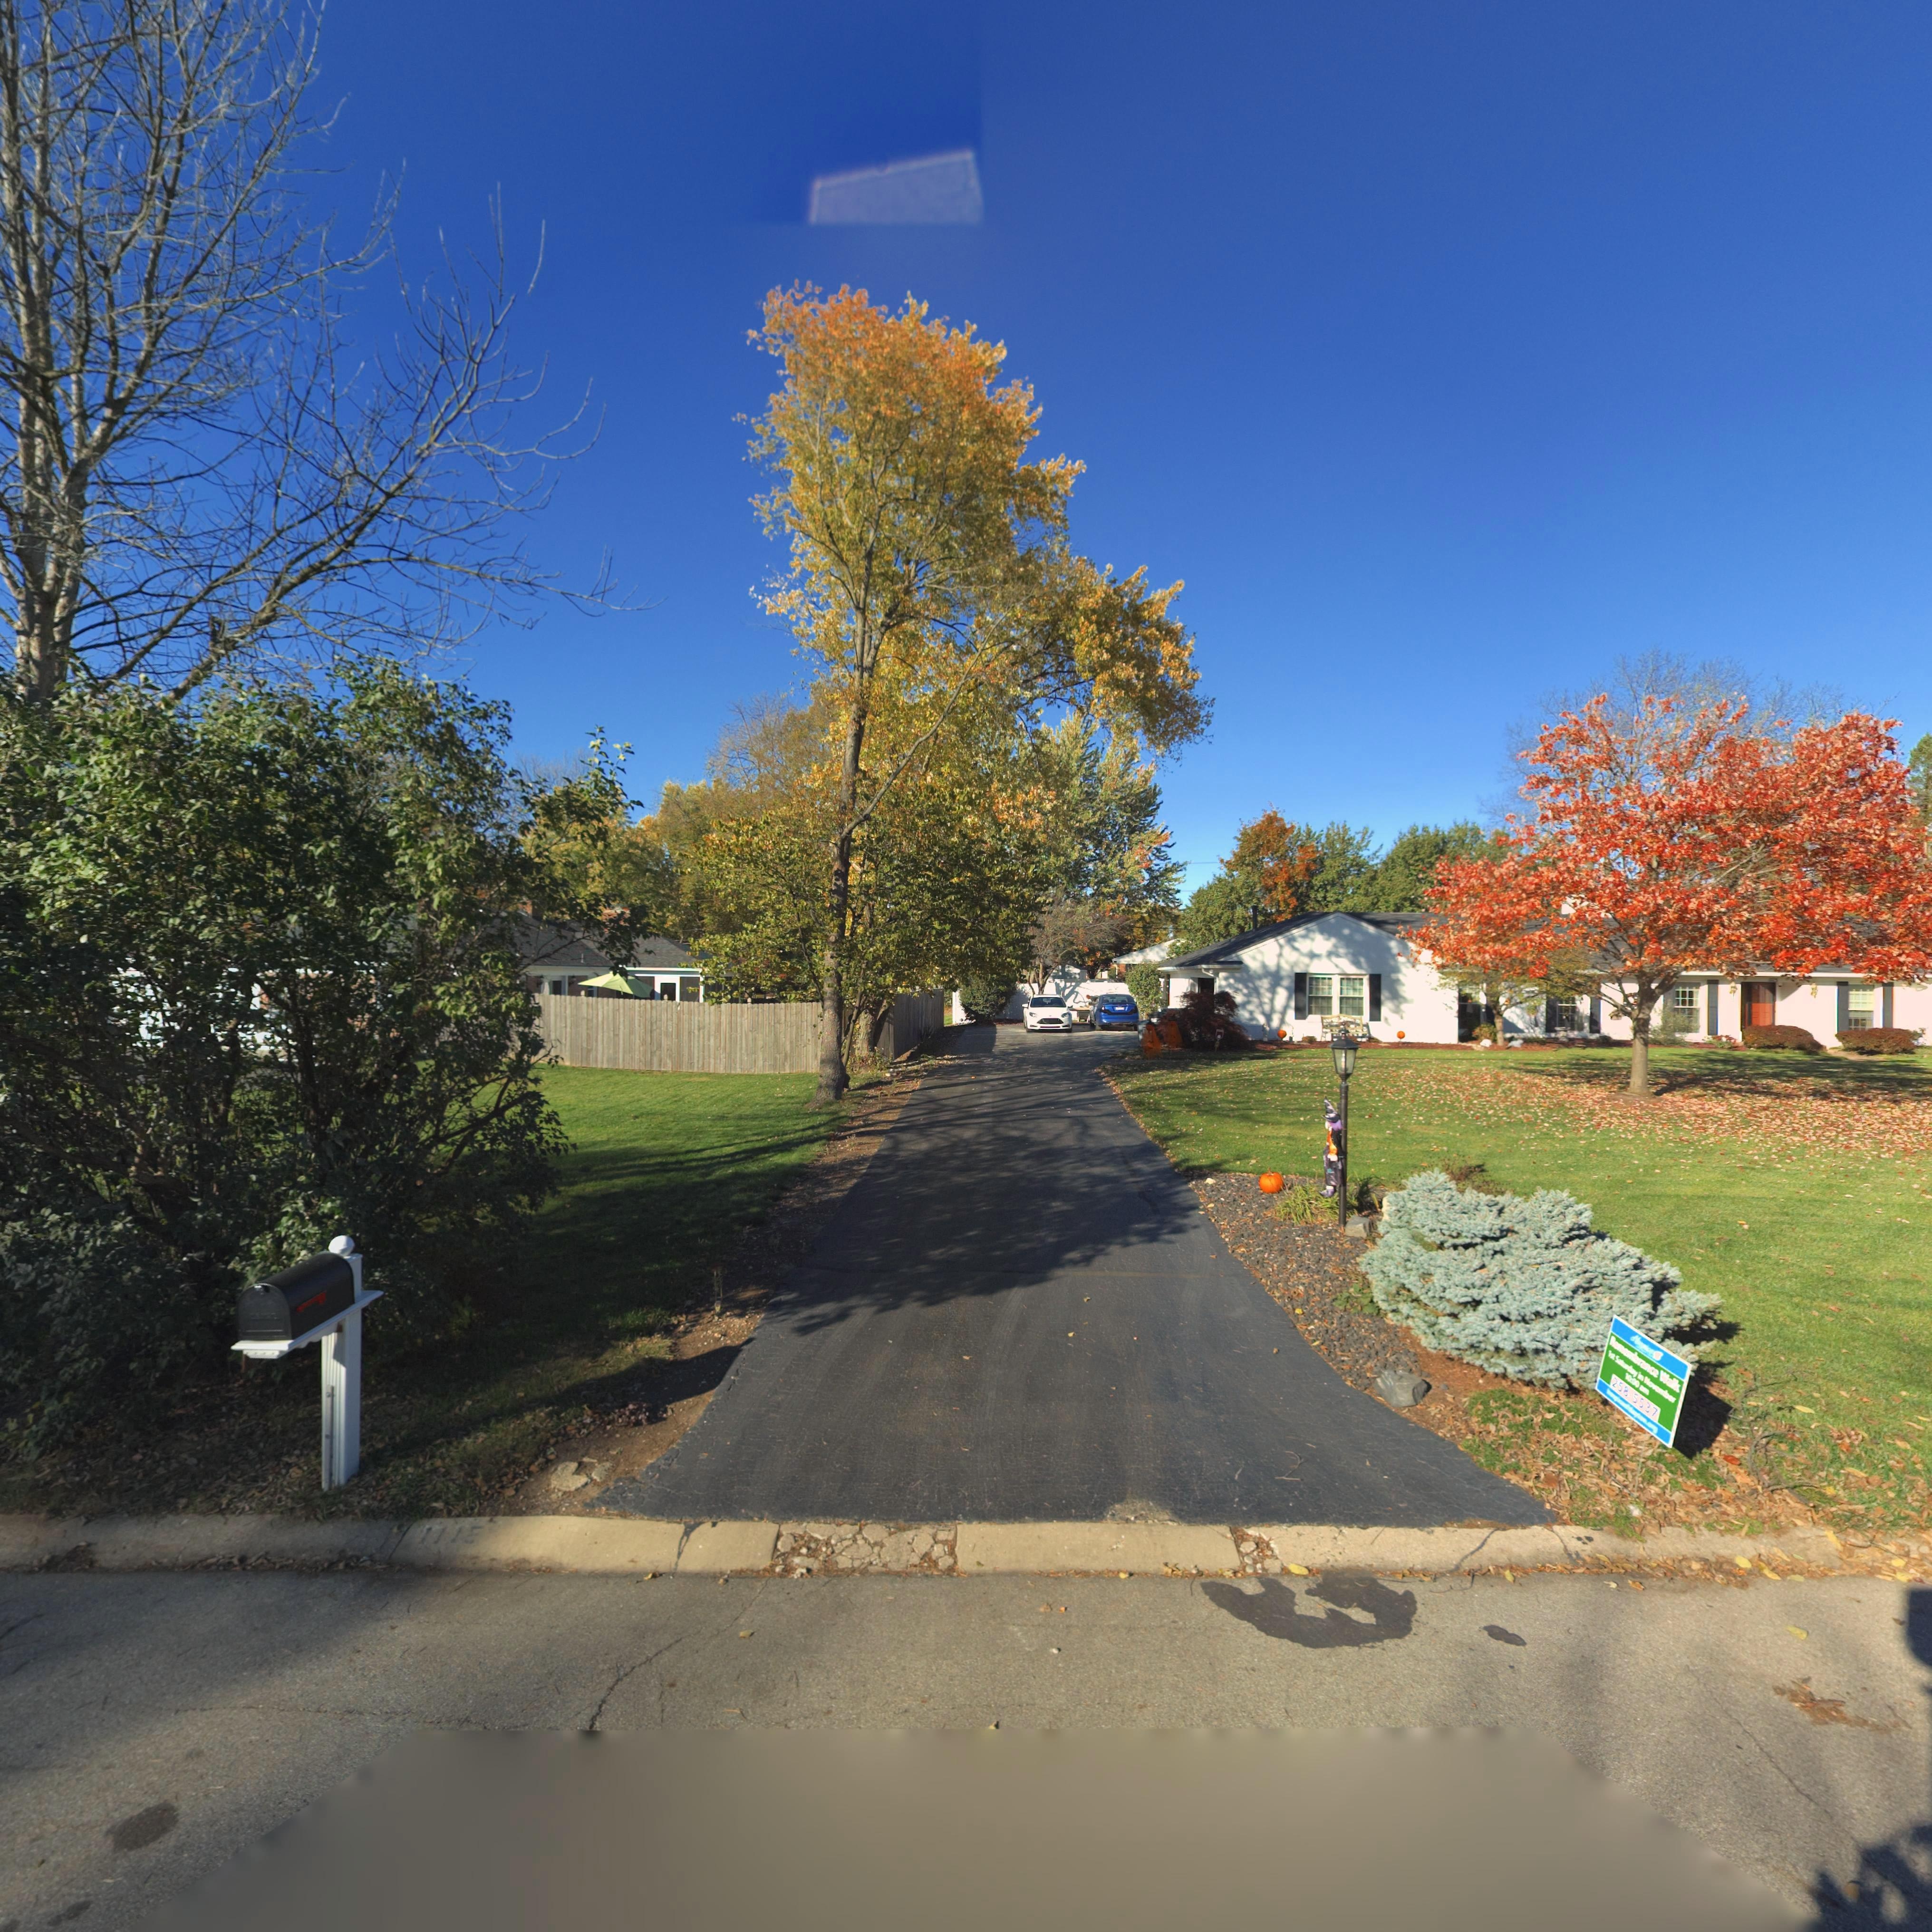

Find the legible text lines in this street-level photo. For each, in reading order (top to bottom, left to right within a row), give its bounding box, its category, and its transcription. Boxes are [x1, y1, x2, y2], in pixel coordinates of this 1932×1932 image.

[1610, 1375, 1660, 1420] None: 258-5537
[1623, 1371, 1652, 1398] None: 10:00 am
[1606, 1349, 1679, 1405] None: 1st Saturday in November
[1608, 1334, 1683, 1395] None: Remembrance
[416, 1524, 486, 1546] StreetNumber: 111*